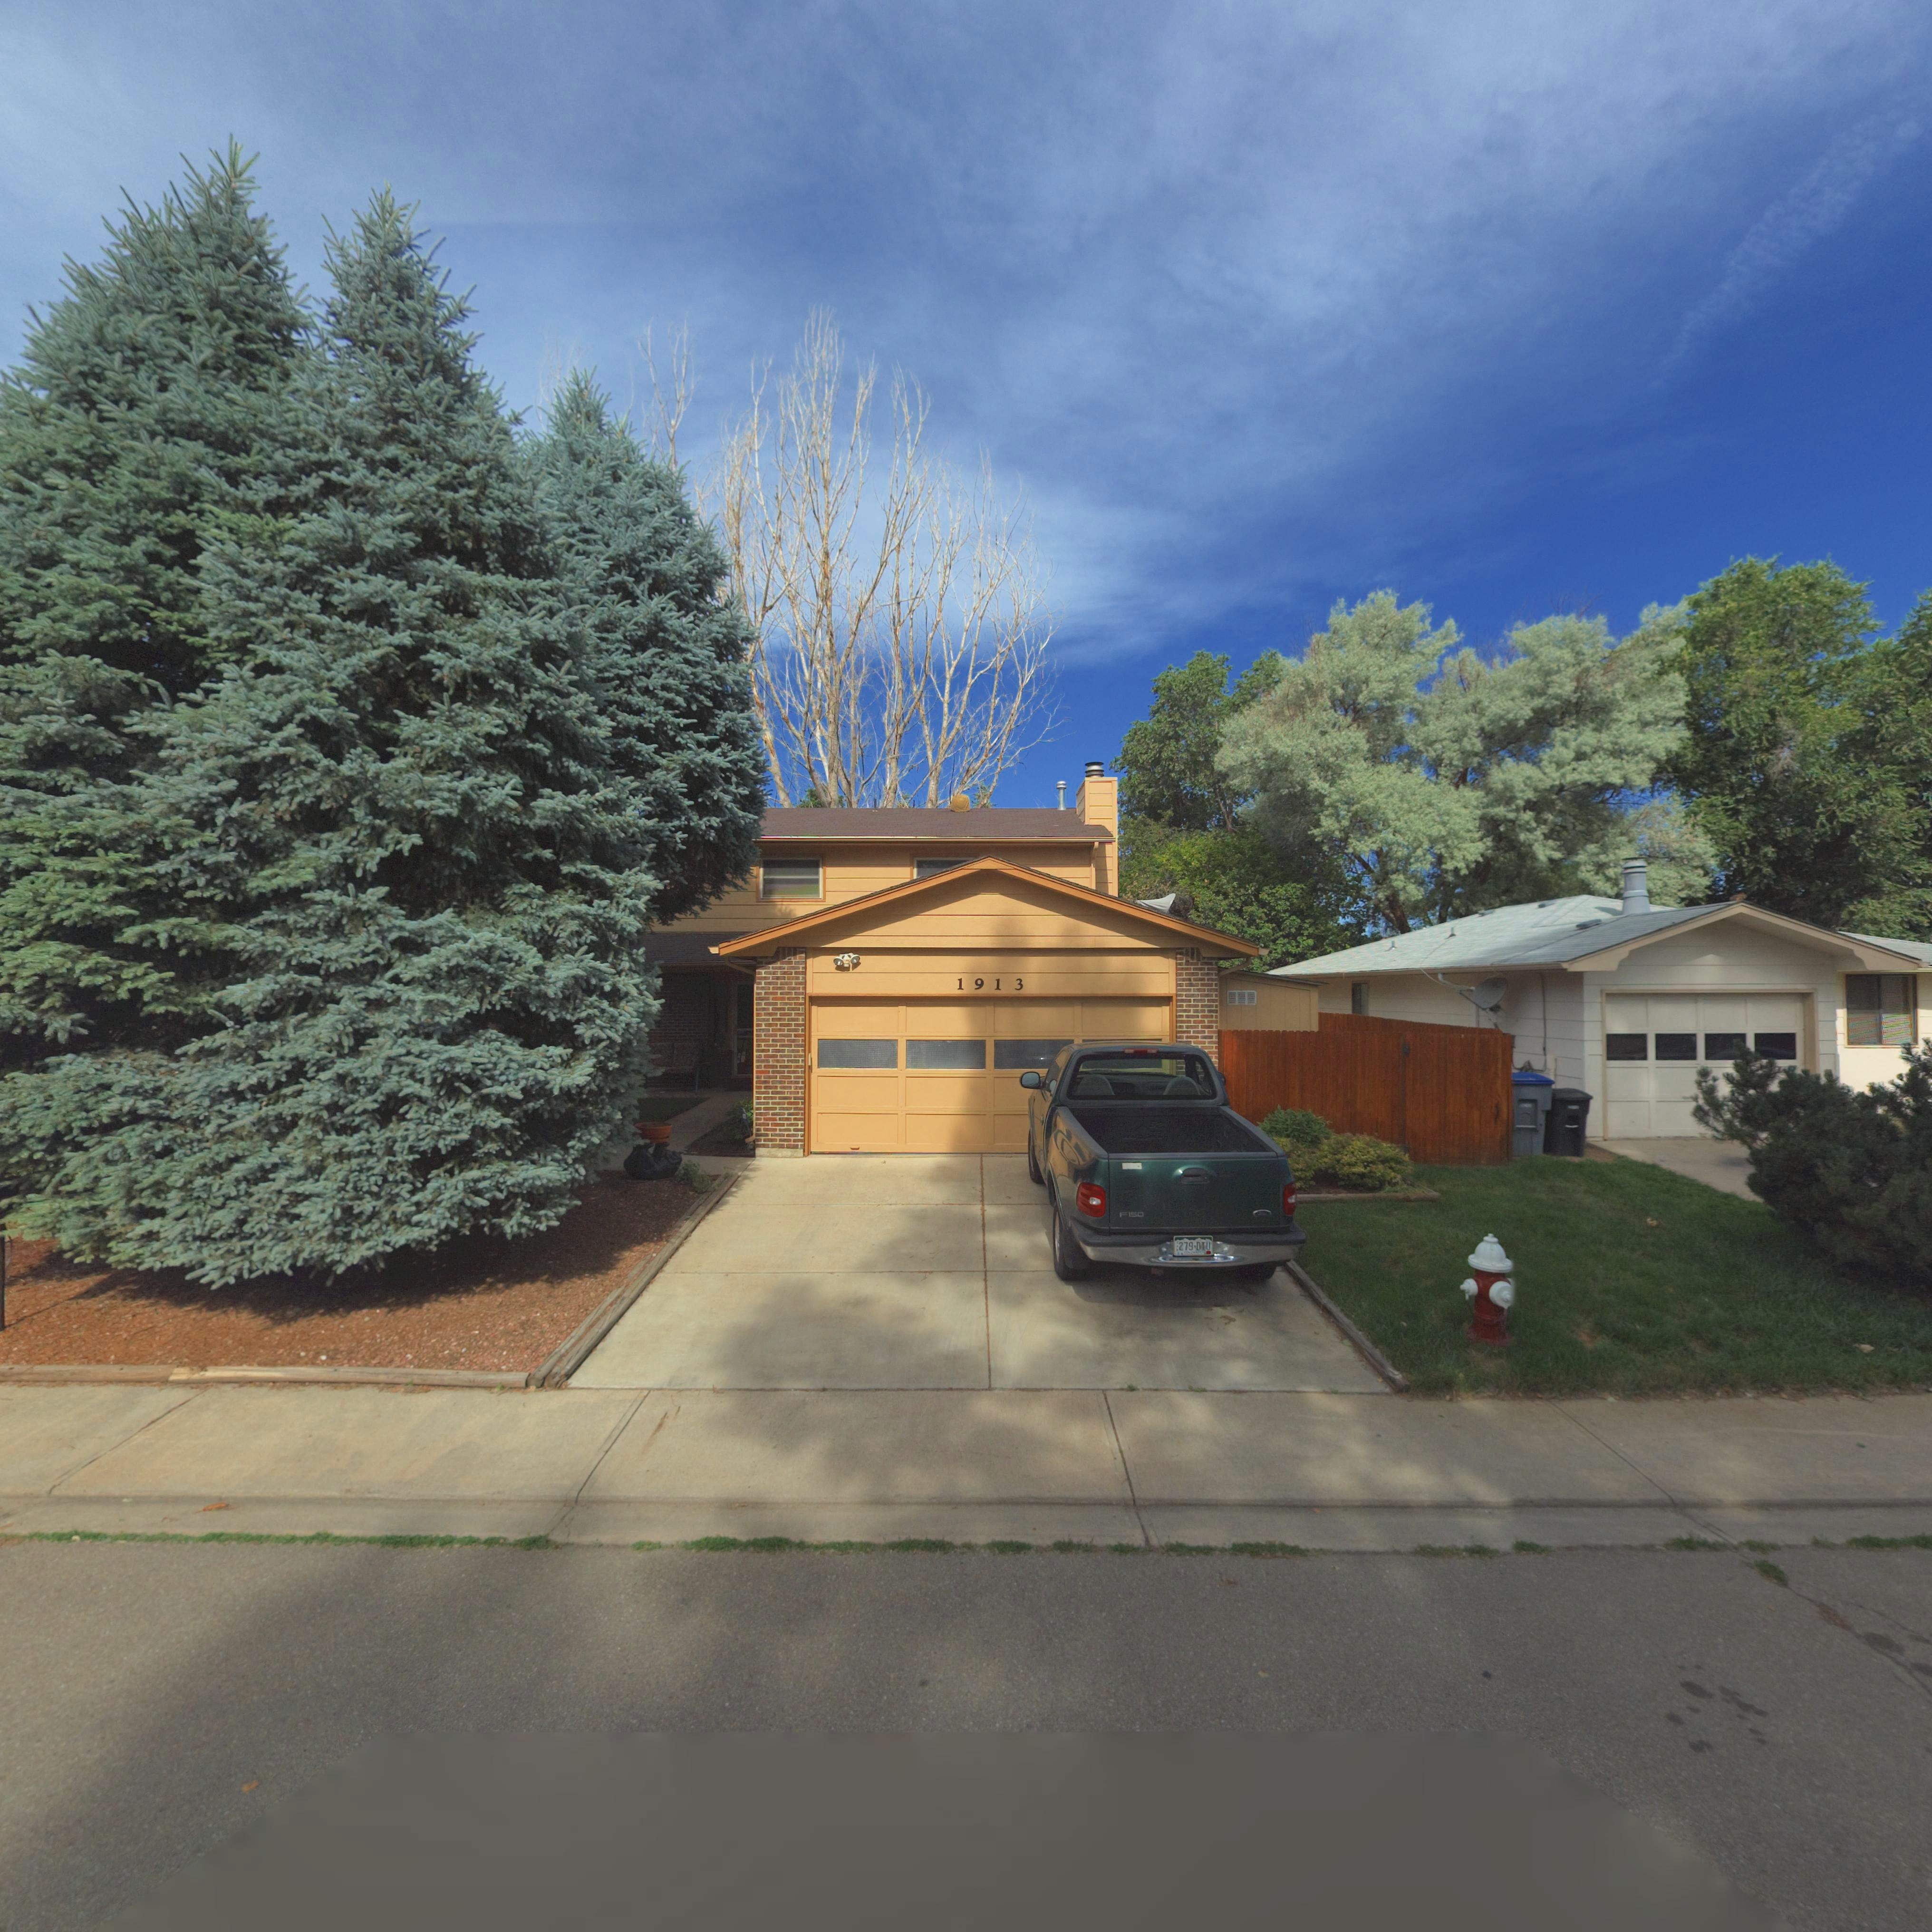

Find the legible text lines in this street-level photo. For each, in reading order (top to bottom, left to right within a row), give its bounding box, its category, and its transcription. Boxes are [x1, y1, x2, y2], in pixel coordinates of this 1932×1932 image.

[956, 977, 1024, 991] StreetNumber: 1913